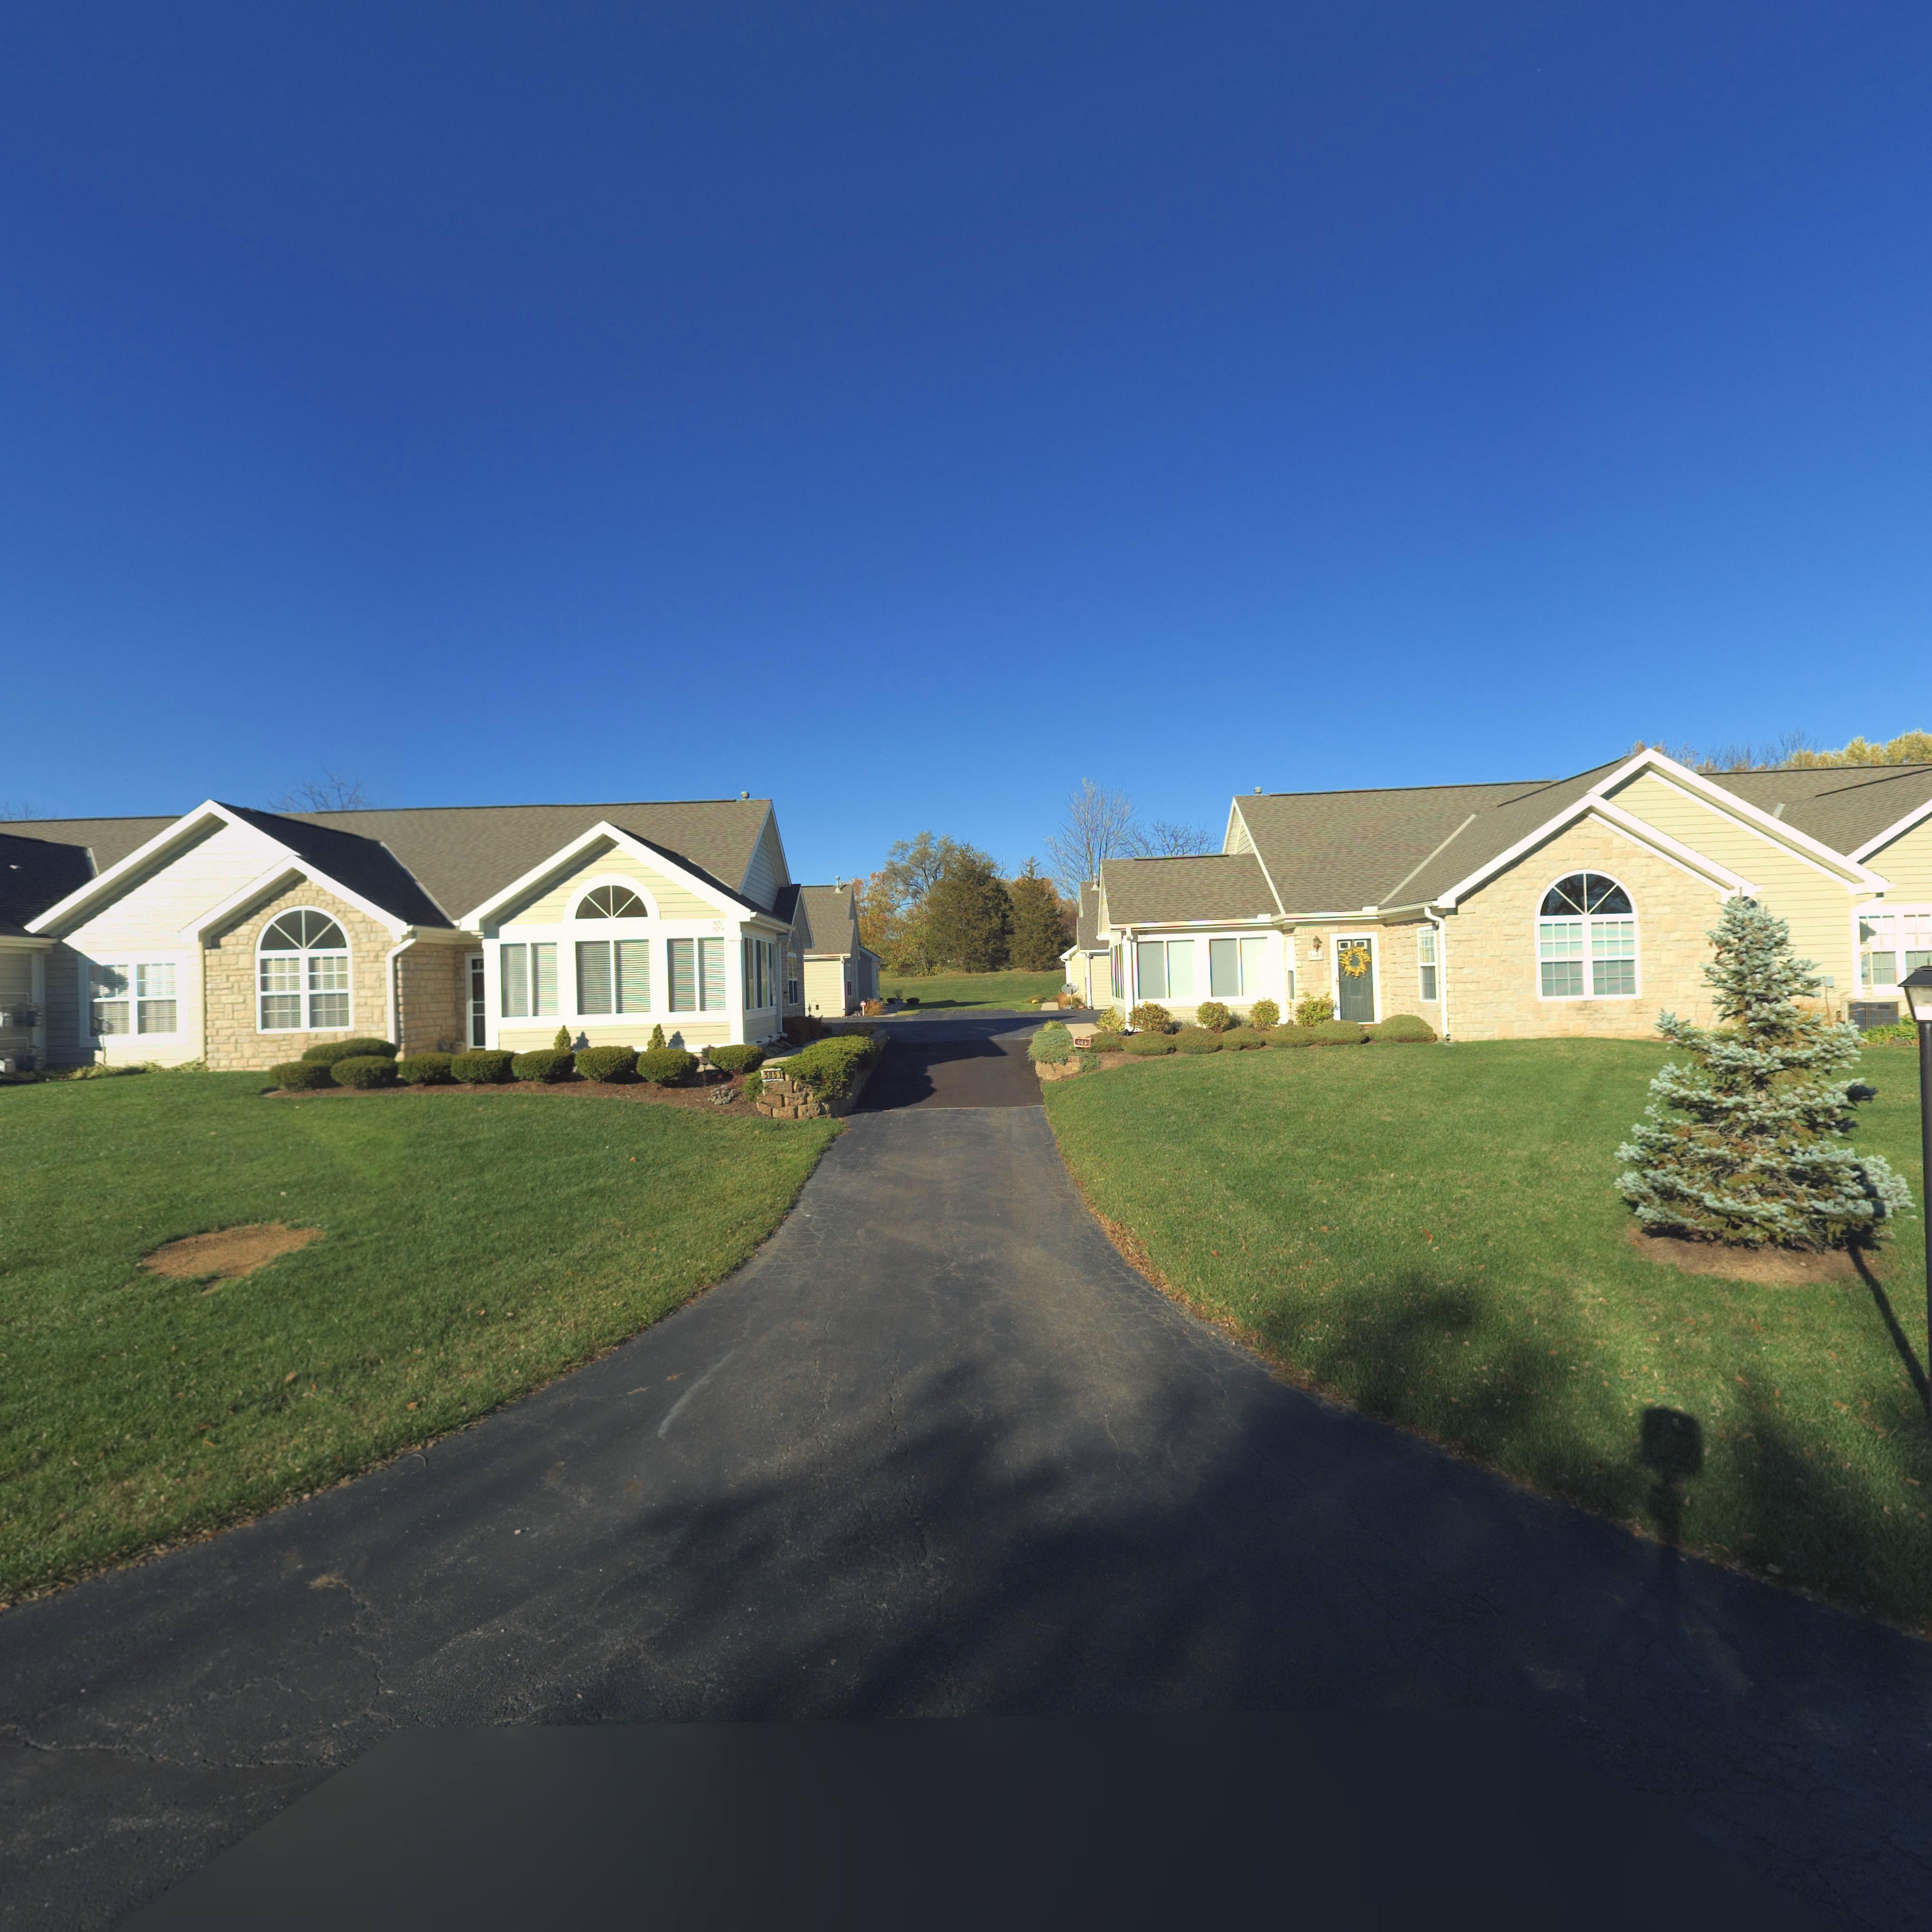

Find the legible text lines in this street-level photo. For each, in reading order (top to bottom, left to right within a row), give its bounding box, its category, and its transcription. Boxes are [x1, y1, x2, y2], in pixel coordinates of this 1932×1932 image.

[1308, 951, 1324, 960] StreetNumber: 50**
[1075, 1038, 1089, 1046] StreetNumber: *04*
[763, 1071, 782, 1080] StreetNumber: 5051